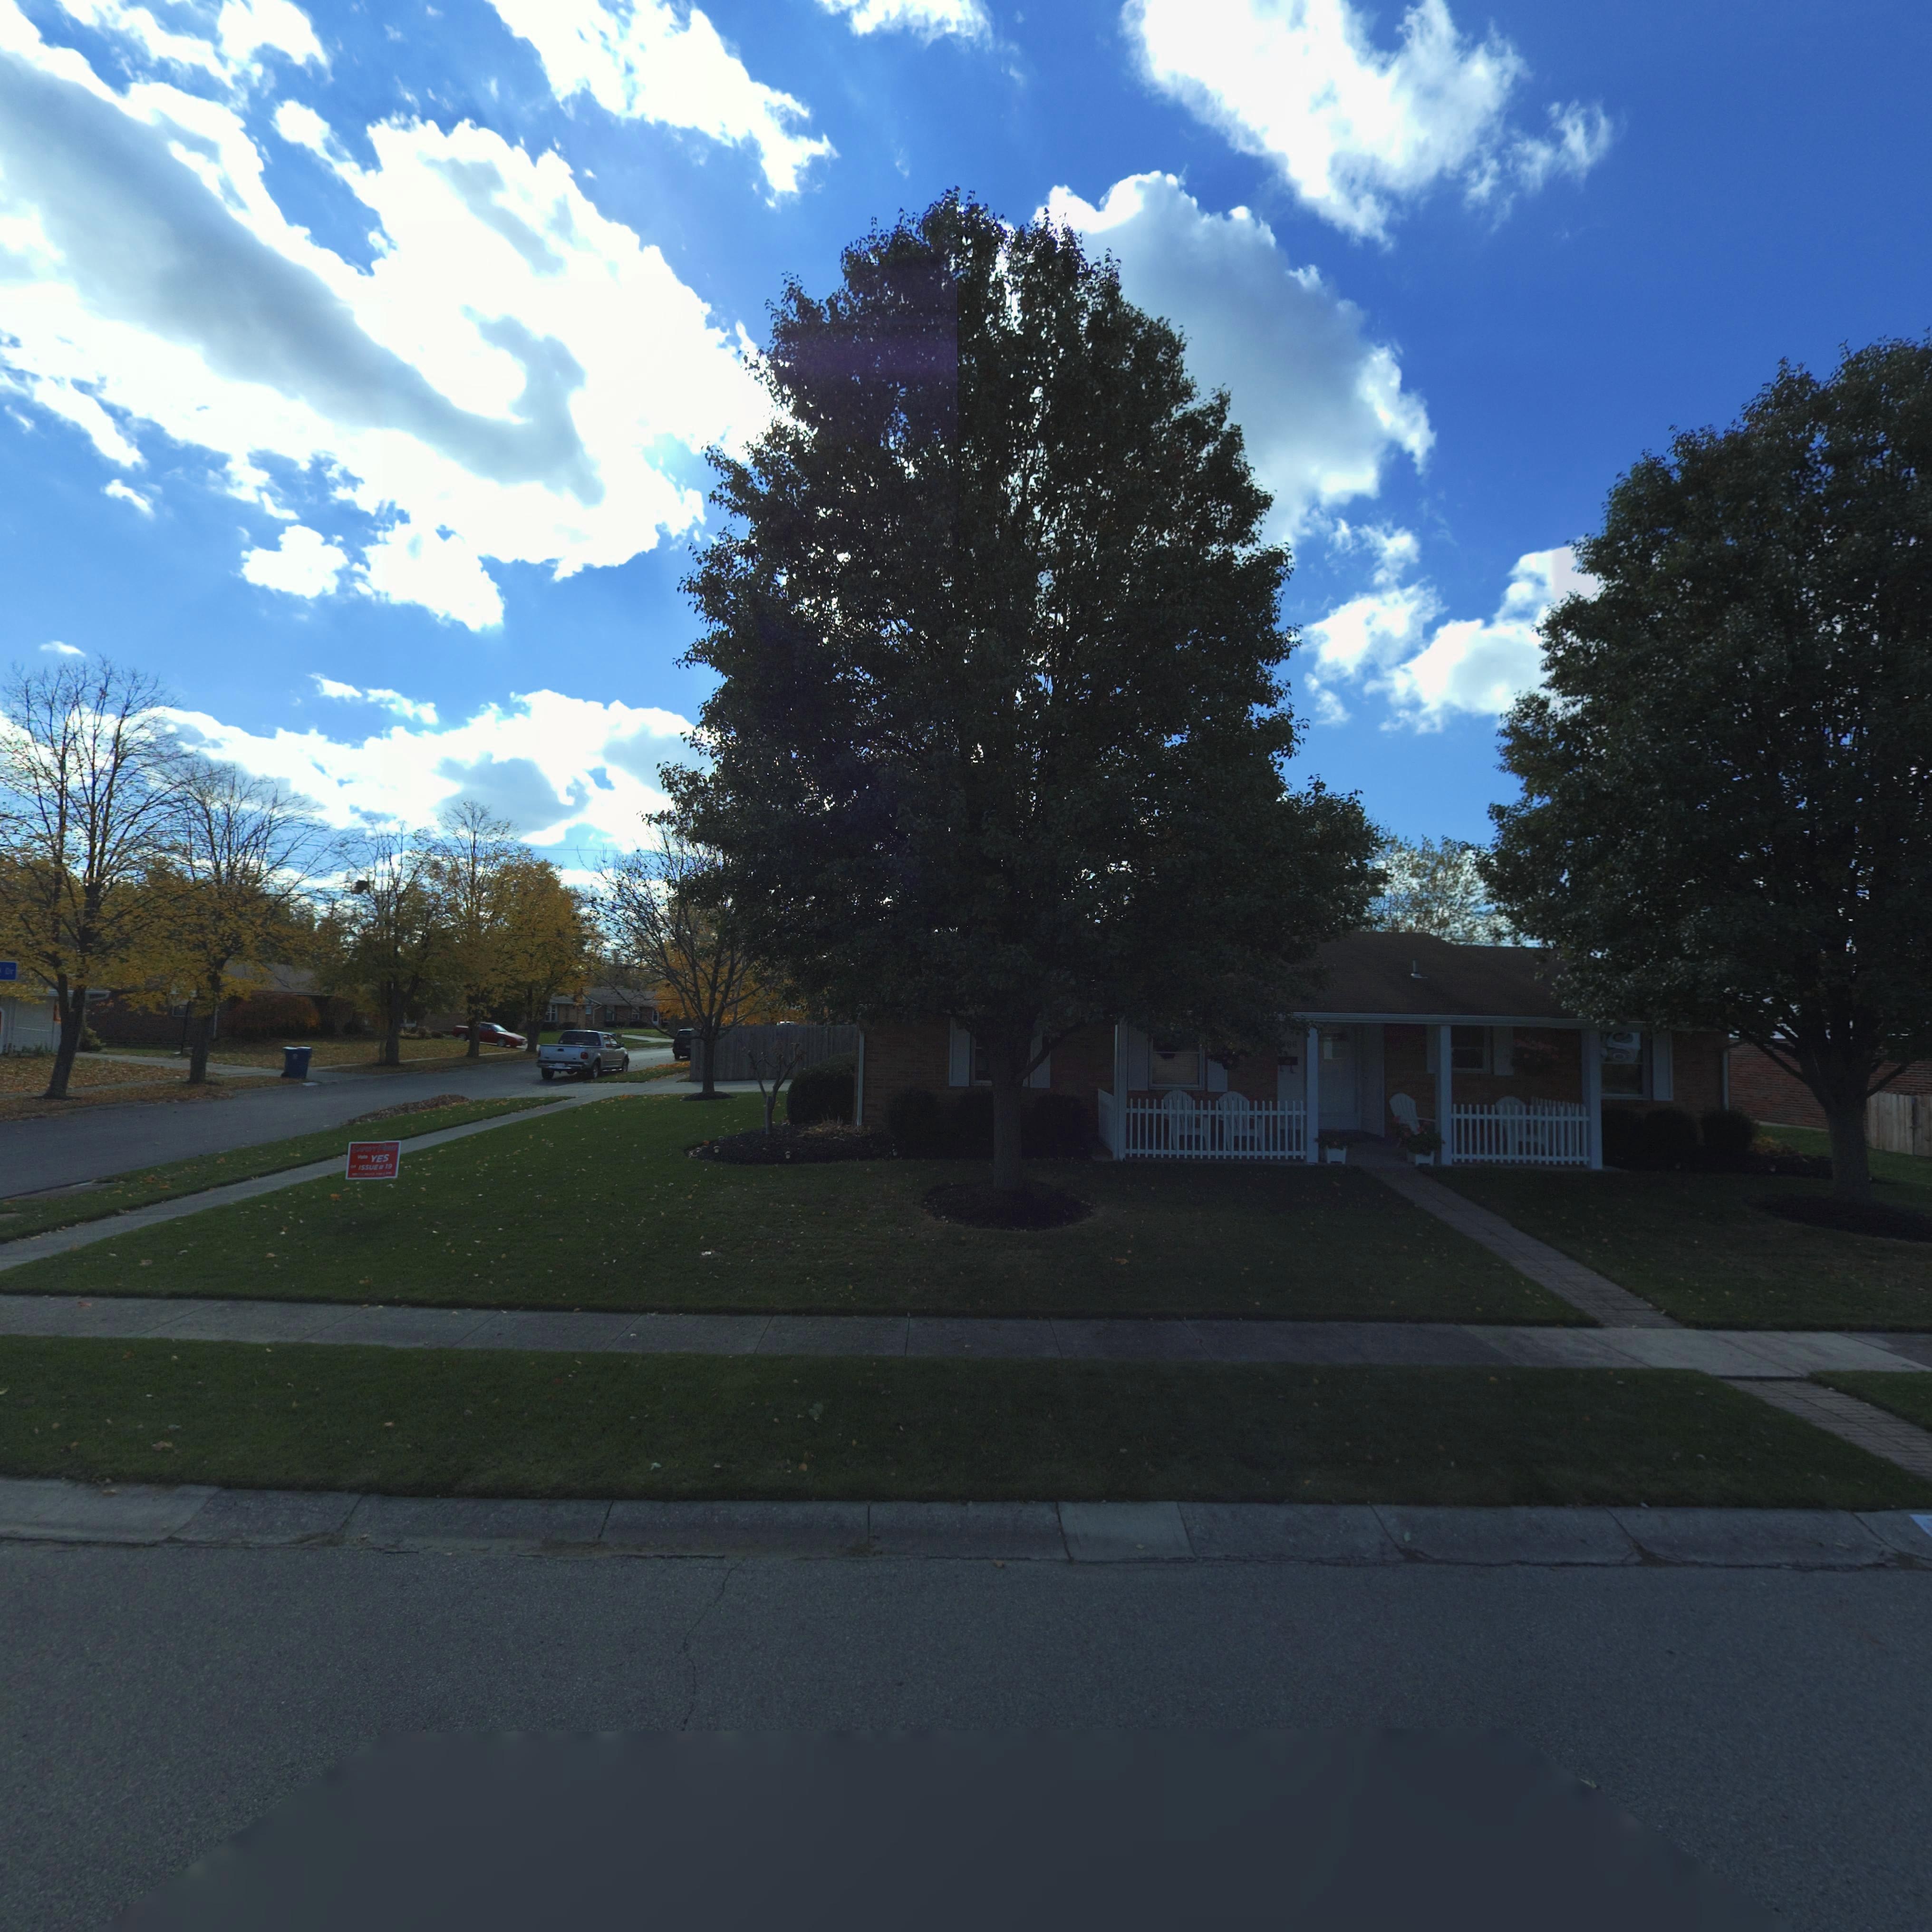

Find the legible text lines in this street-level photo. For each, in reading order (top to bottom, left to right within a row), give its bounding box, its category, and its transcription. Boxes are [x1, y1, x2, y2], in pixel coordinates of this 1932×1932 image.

[1286, 1040, 1298, 1048] StreetNumber: *6